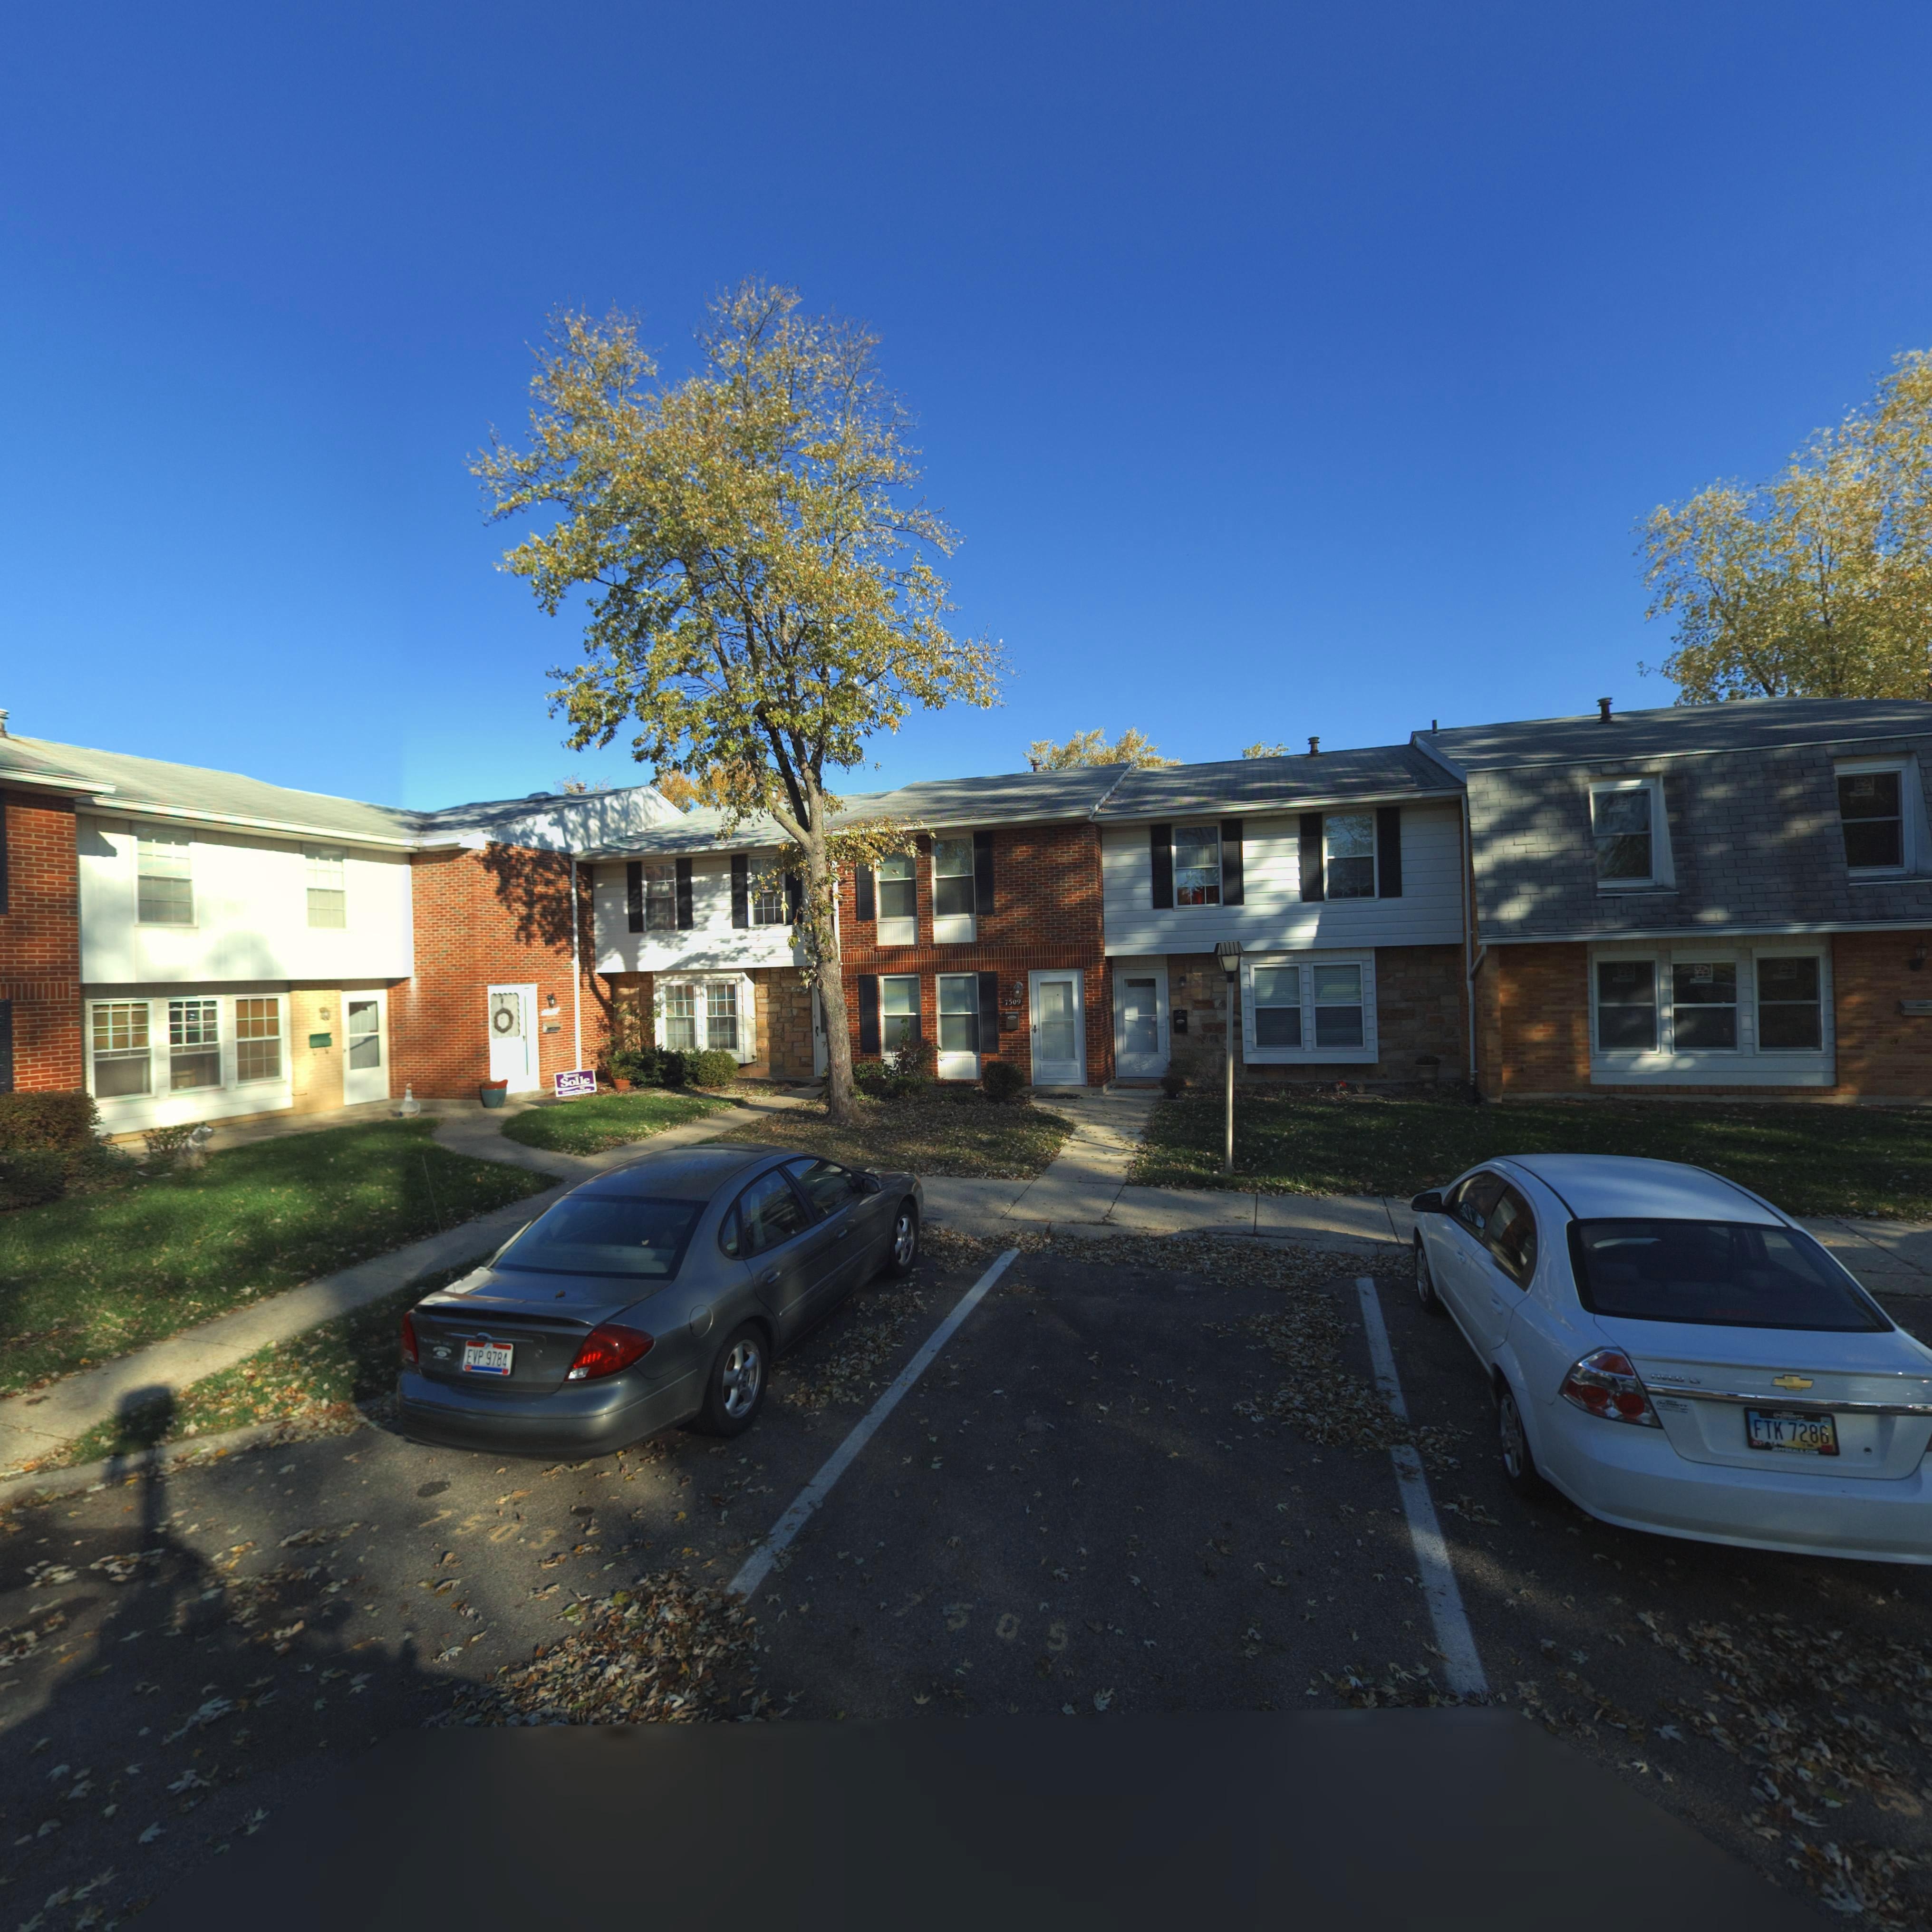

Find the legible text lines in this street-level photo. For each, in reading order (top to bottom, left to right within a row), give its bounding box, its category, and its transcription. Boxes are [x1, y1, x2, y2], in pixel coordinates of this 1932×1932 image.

[1004, 998, 1022, 1007] StreetNumber: 7509
[557, 1075, 590, 1087] None: Solle
[465, 1348, 508, 1370] None: EVP 9784
[1752, 1416, 1831, 1447] None: FTK 7286
[883, 1587, 1072, 1659] StreetNumber: 750*